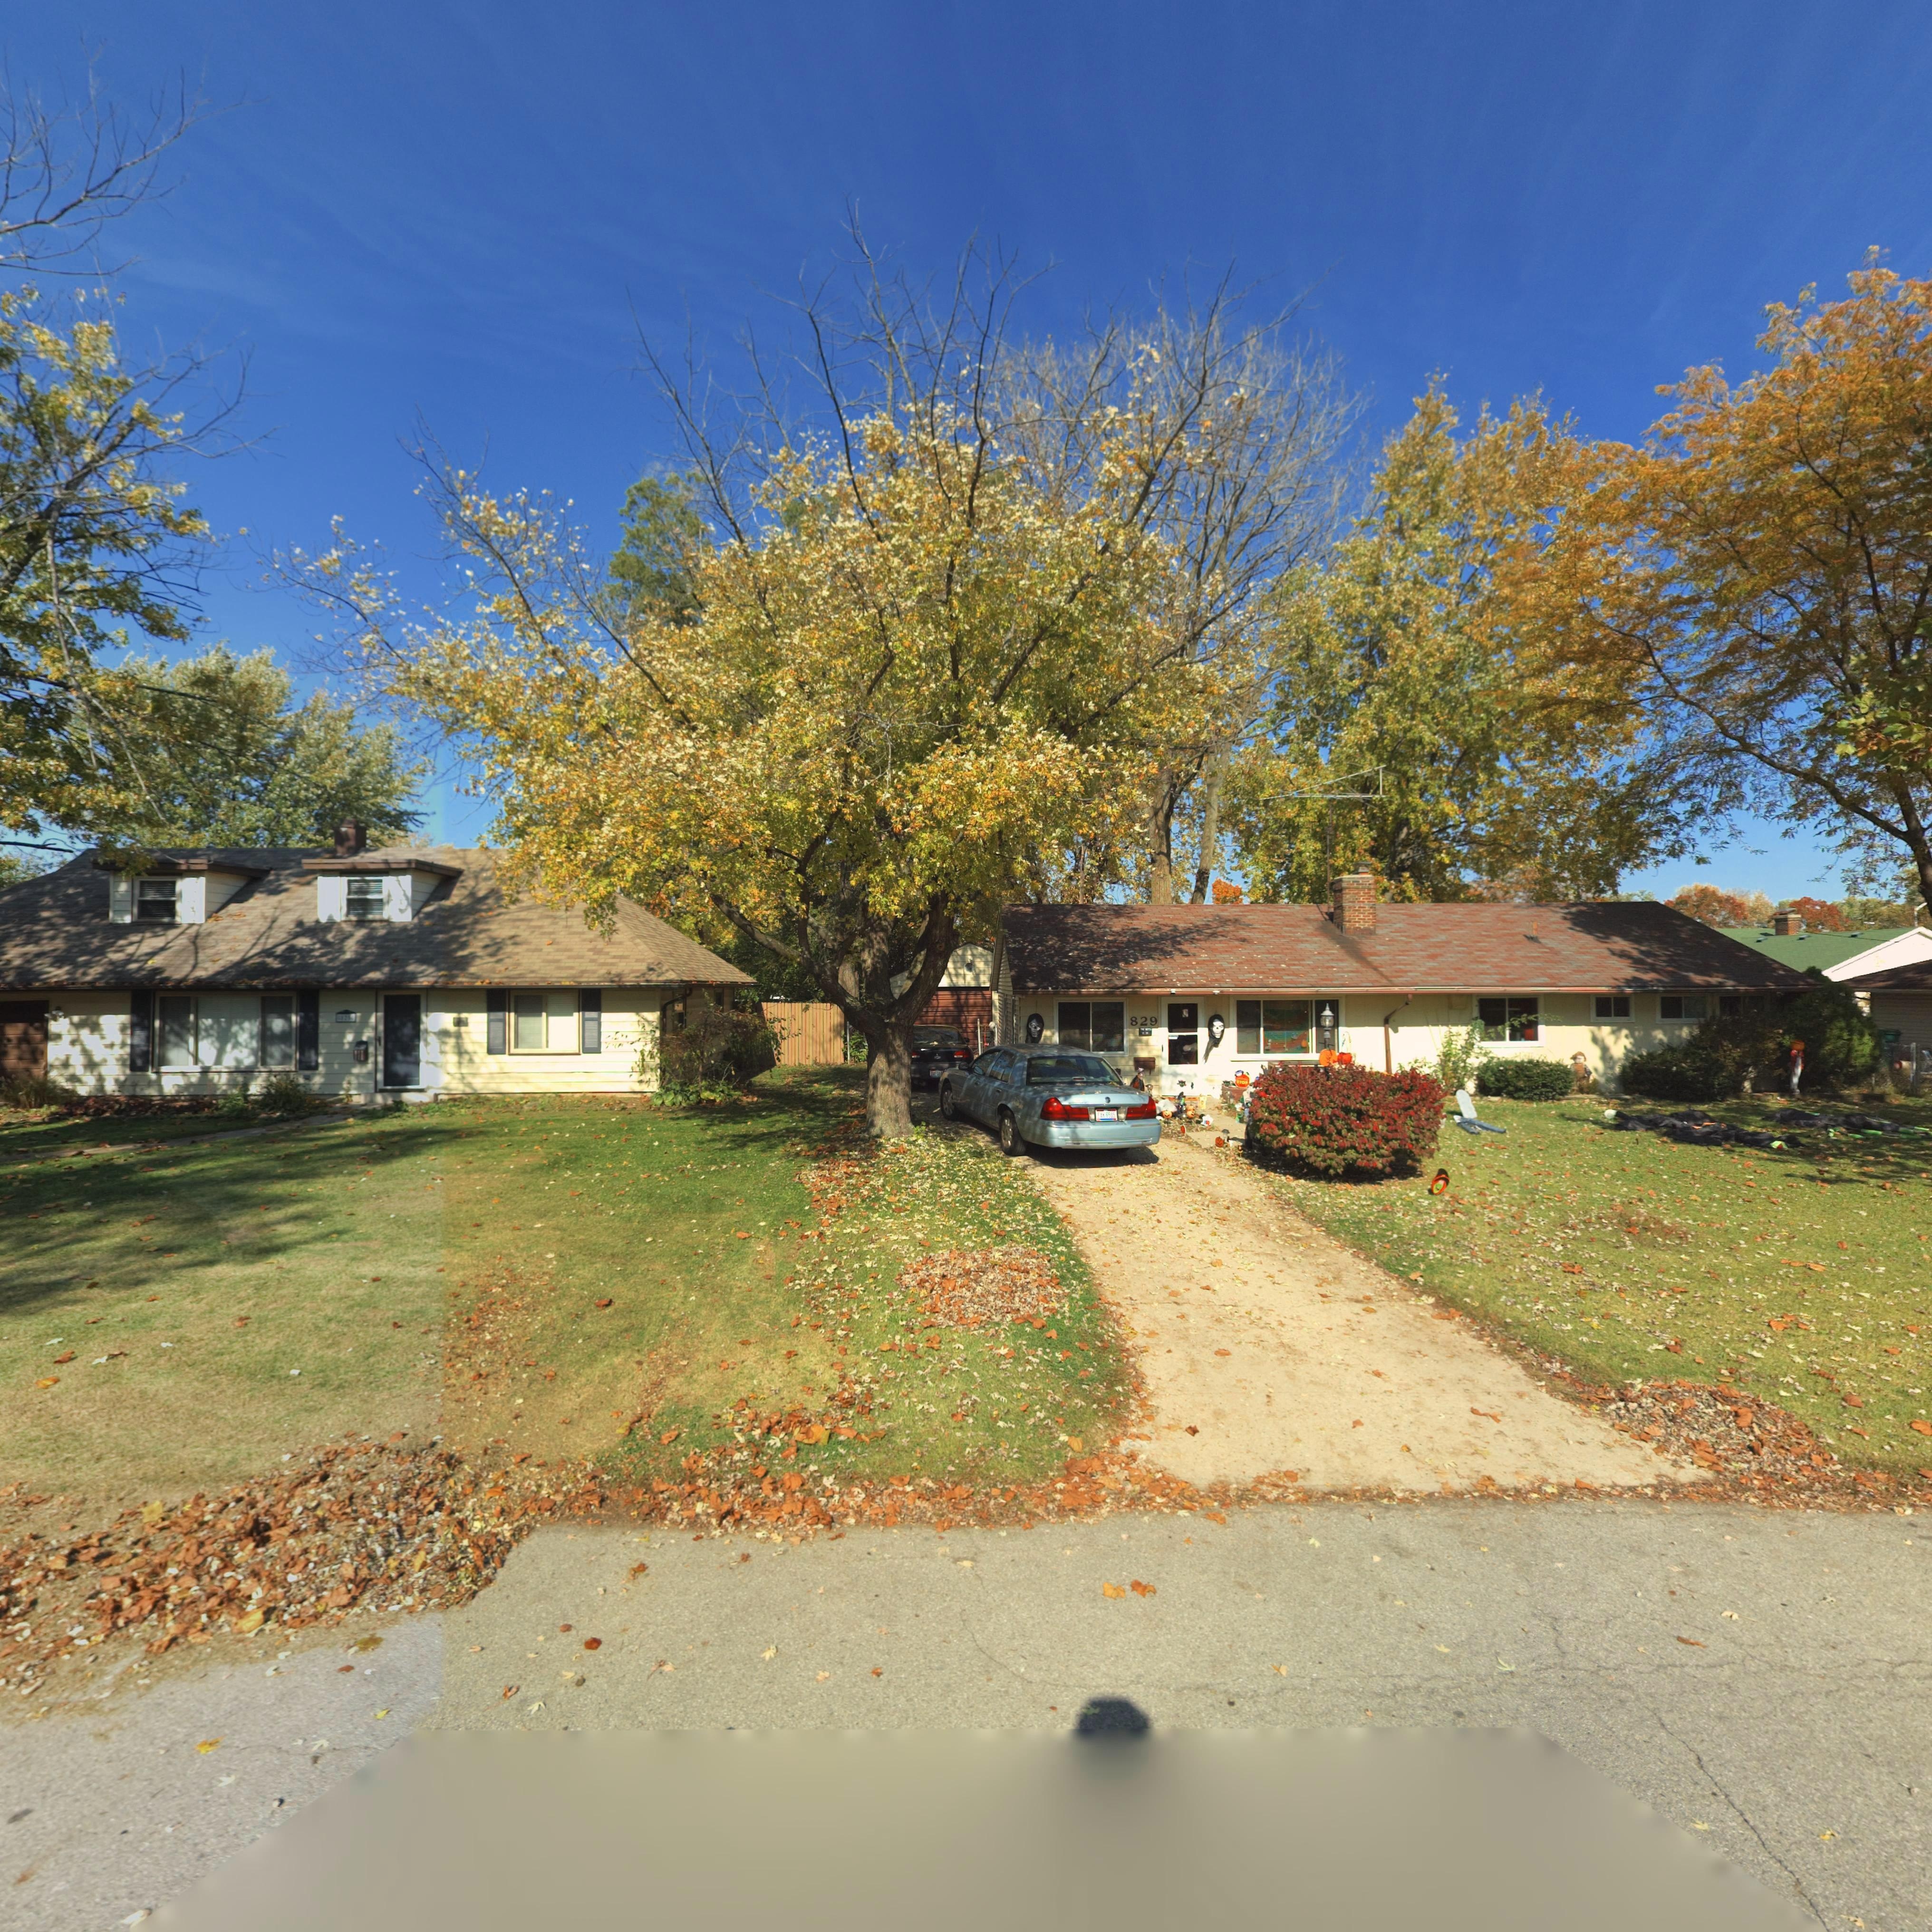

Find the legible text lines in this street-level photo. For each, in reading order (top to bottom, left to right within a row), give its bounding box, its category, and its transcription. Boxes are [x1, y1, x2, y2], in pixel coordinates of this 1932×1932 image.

[1130, 1015, 1158, 1027] StreetNumber: 829